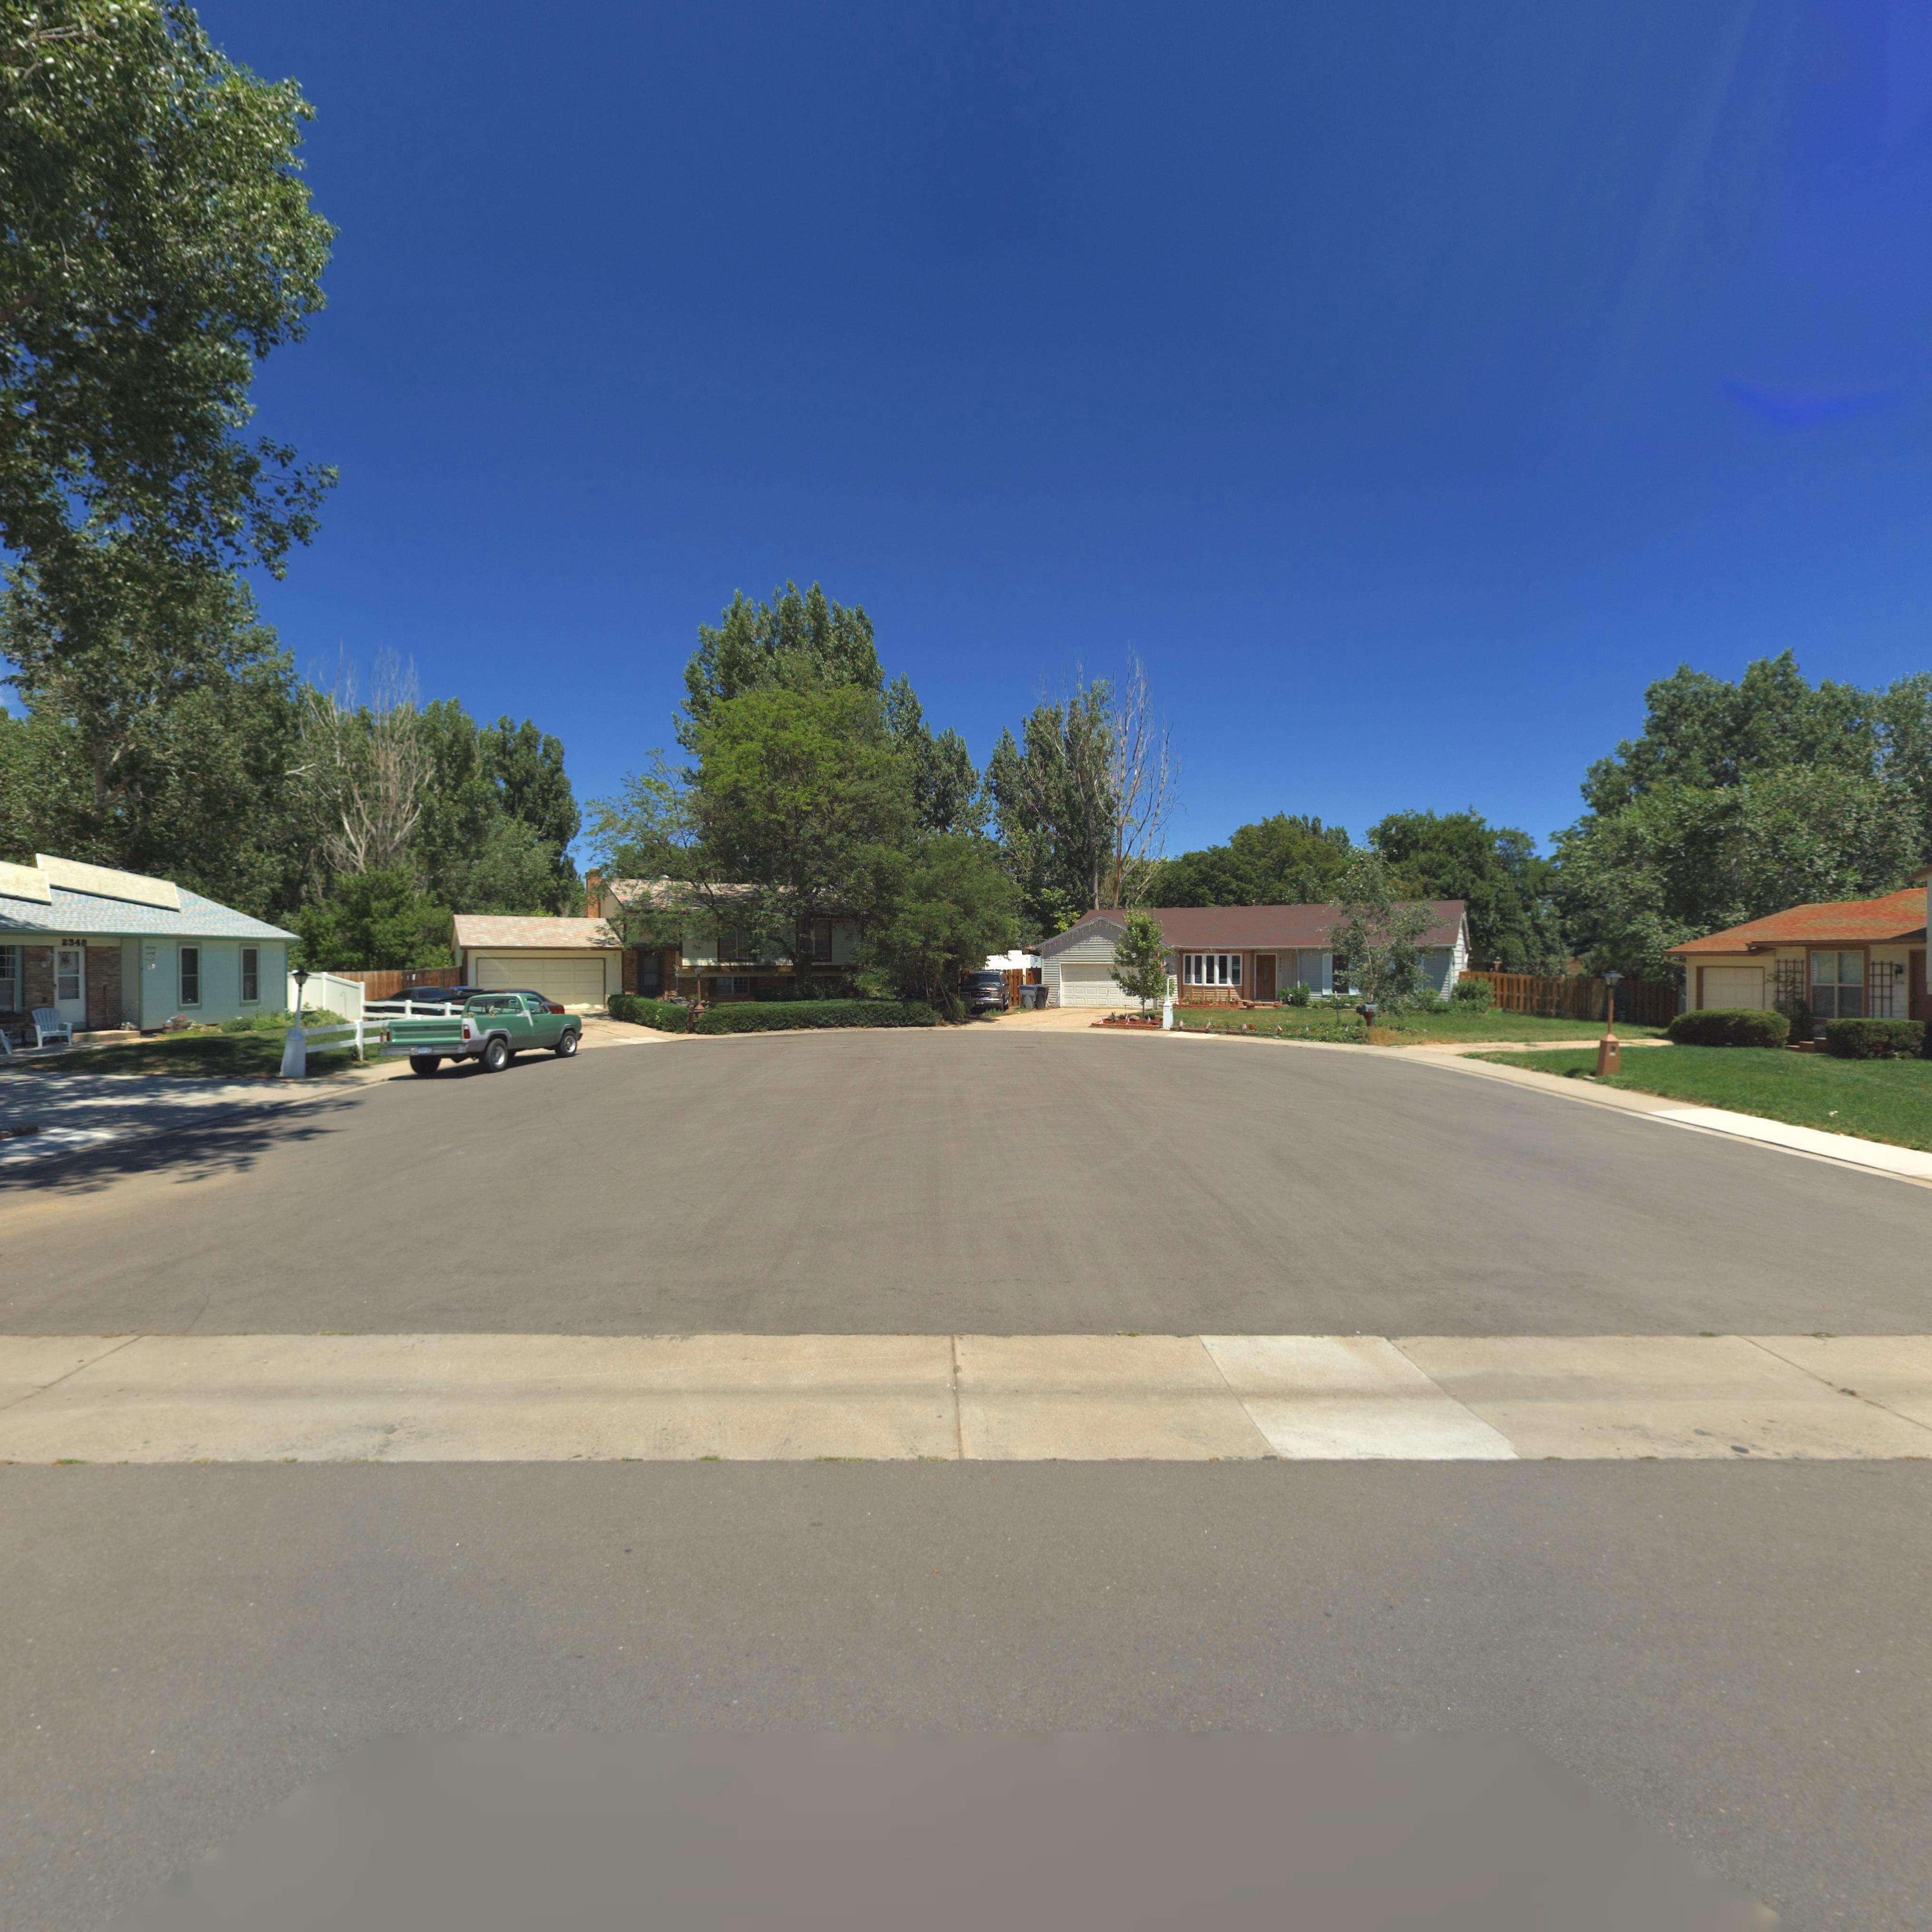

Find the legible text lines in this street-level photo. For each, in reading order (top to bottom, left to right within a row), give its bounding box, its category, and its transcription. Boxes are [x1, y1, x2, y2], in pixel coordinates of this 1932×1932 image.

[62, 938, 87, 946] StreetNumber: 2348
[1278, 956, 1282, 972] StreetNumber: 2340
[1892, 980, 1904, 985] StreetNumber: *55*